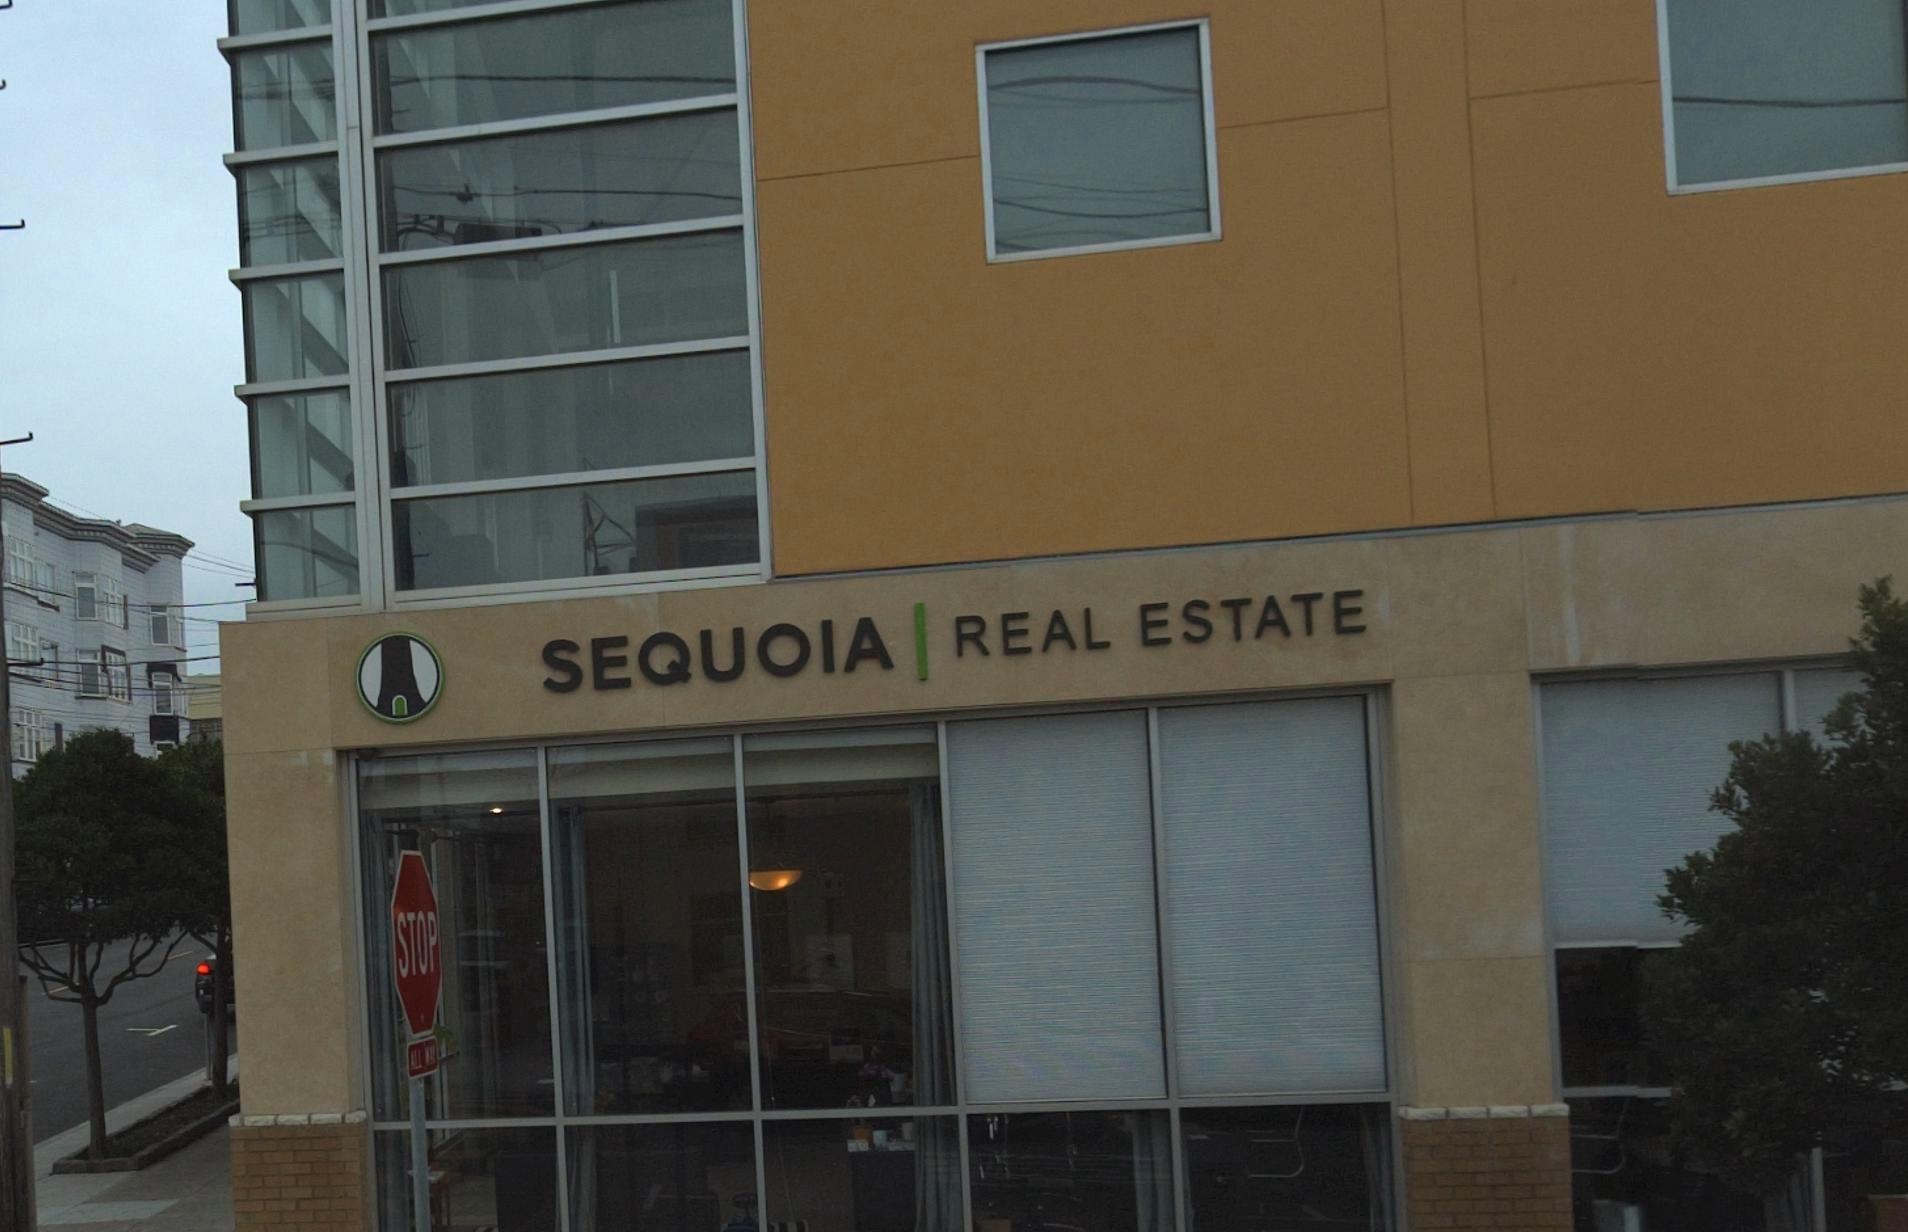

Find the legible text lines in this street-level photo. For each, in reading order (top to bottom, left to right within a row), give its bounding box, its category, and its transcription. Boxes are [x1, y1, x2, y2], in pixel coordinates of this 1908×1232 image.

[534, 582, 1371, 699] BusinessName: SEQUOIA REAL ESTATE
[394, 908, 439, 980] None: STOP
[409, 1042, 437, 1073] None: ALL WAY